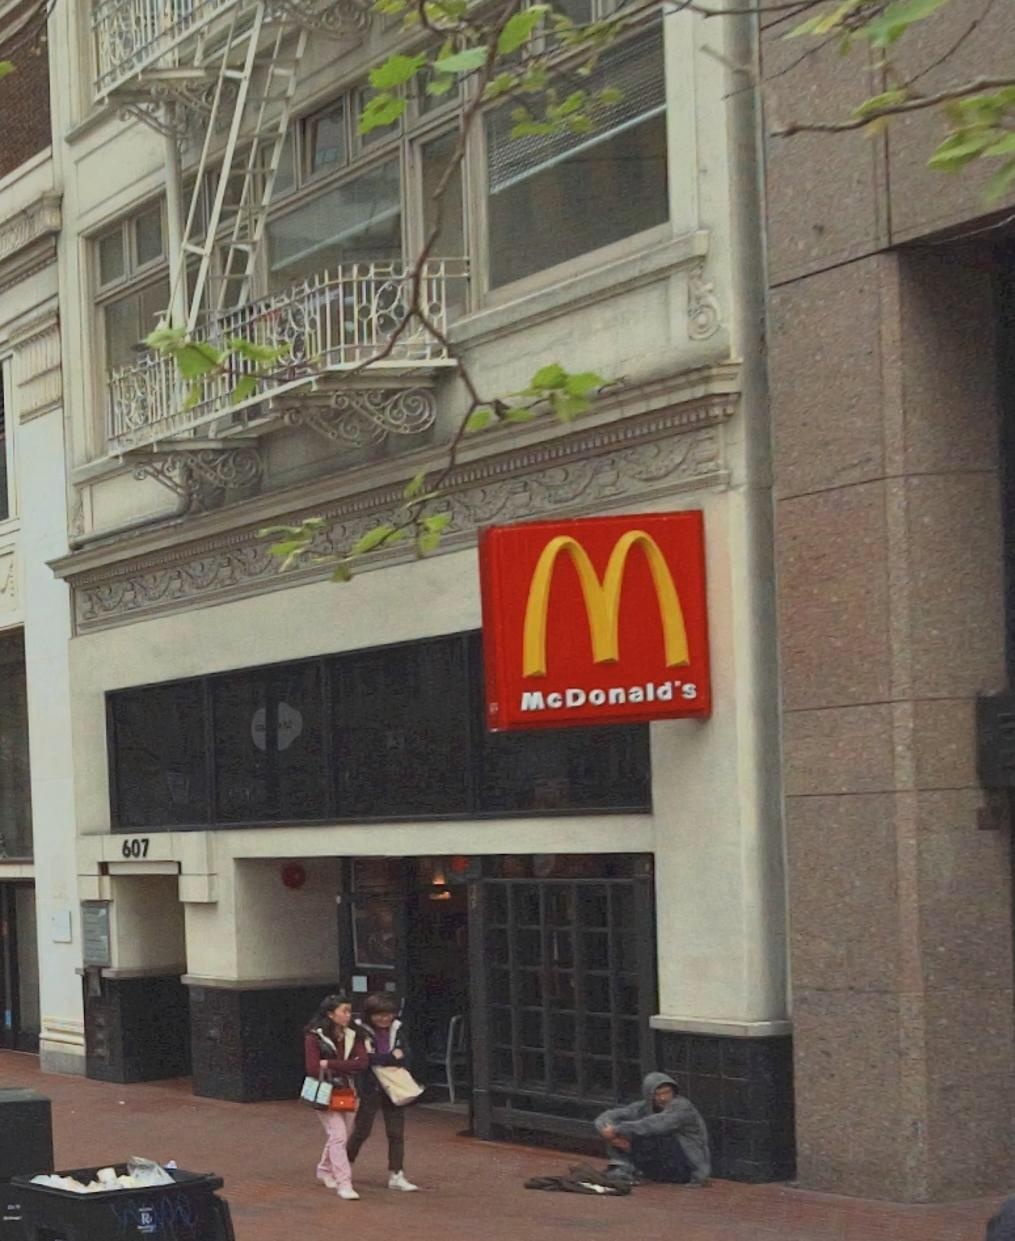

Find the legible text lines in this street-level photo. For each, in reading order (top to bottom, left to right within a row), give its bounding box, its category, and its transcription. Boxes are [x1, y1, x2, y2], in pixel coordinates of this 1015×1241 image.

[516, 675, 700, 715] BusinessName: McDonald's
[119, 835, 153, 861] StreetNumber: 607